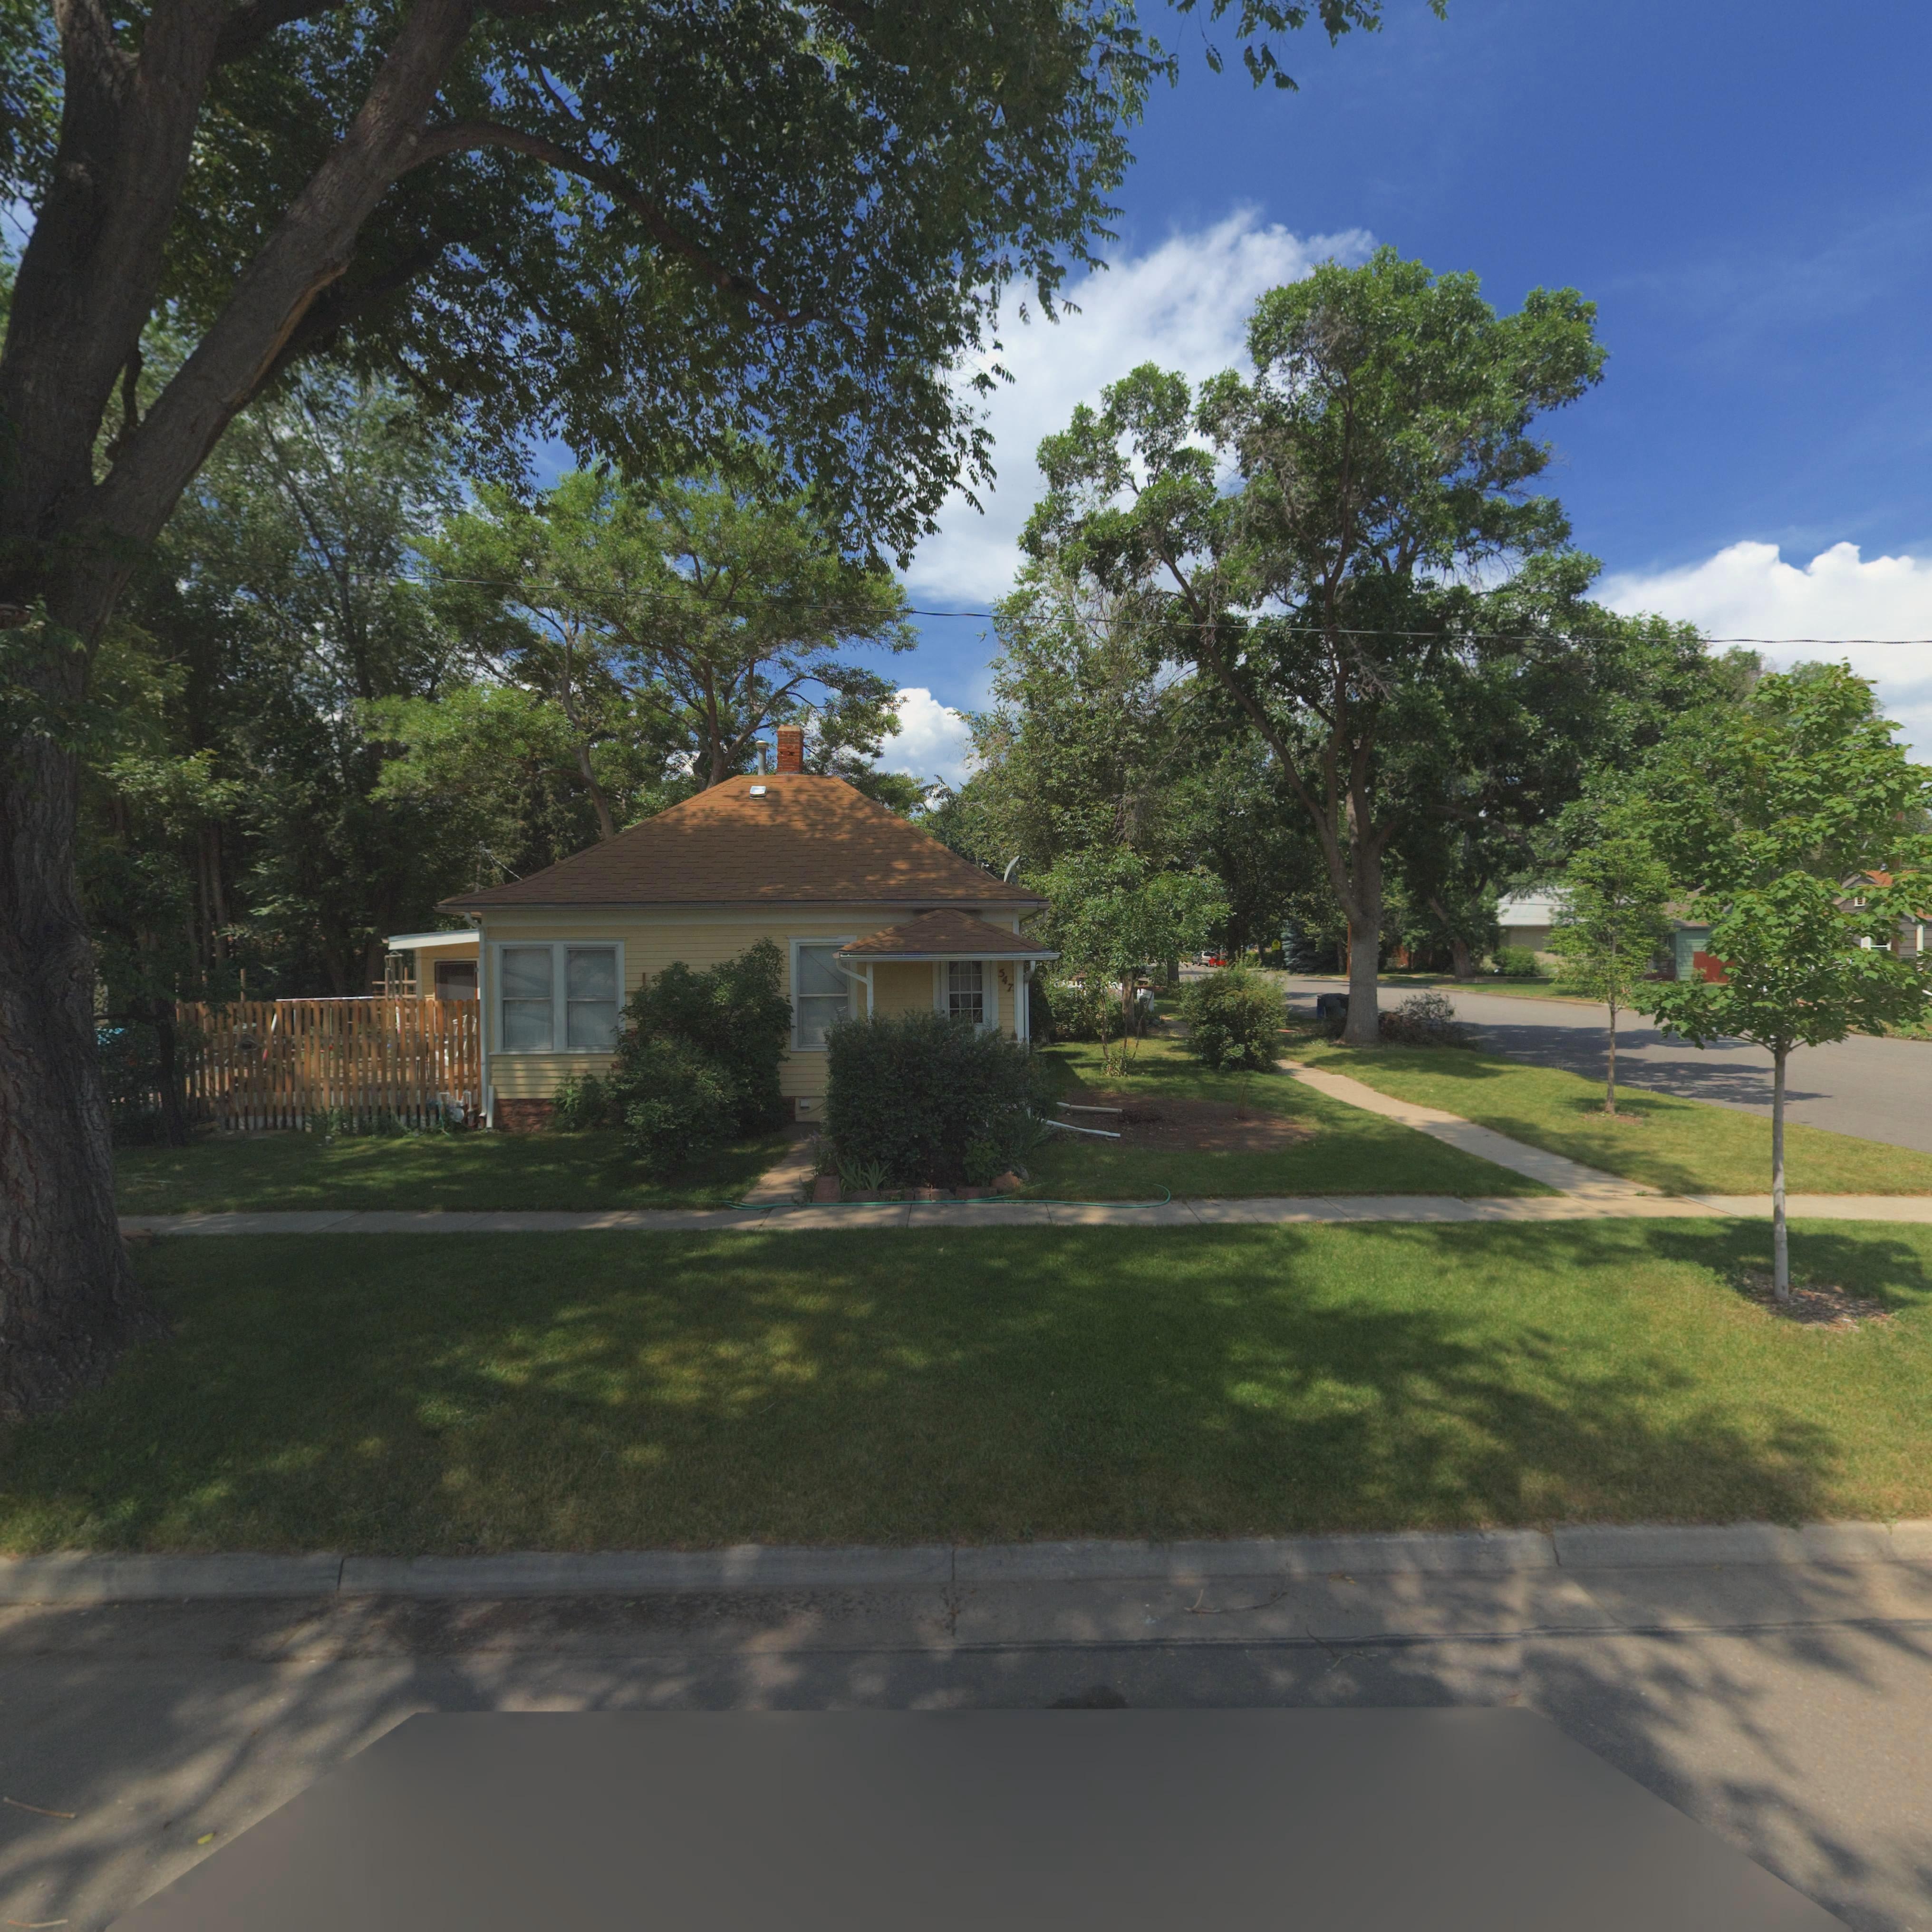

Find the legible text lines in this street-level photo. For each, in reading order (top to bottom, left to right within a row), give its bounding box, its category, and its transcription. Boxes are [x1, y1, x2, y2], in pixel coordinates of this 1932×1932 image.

[998, 968, 1014, 992] StreetNumber: 547